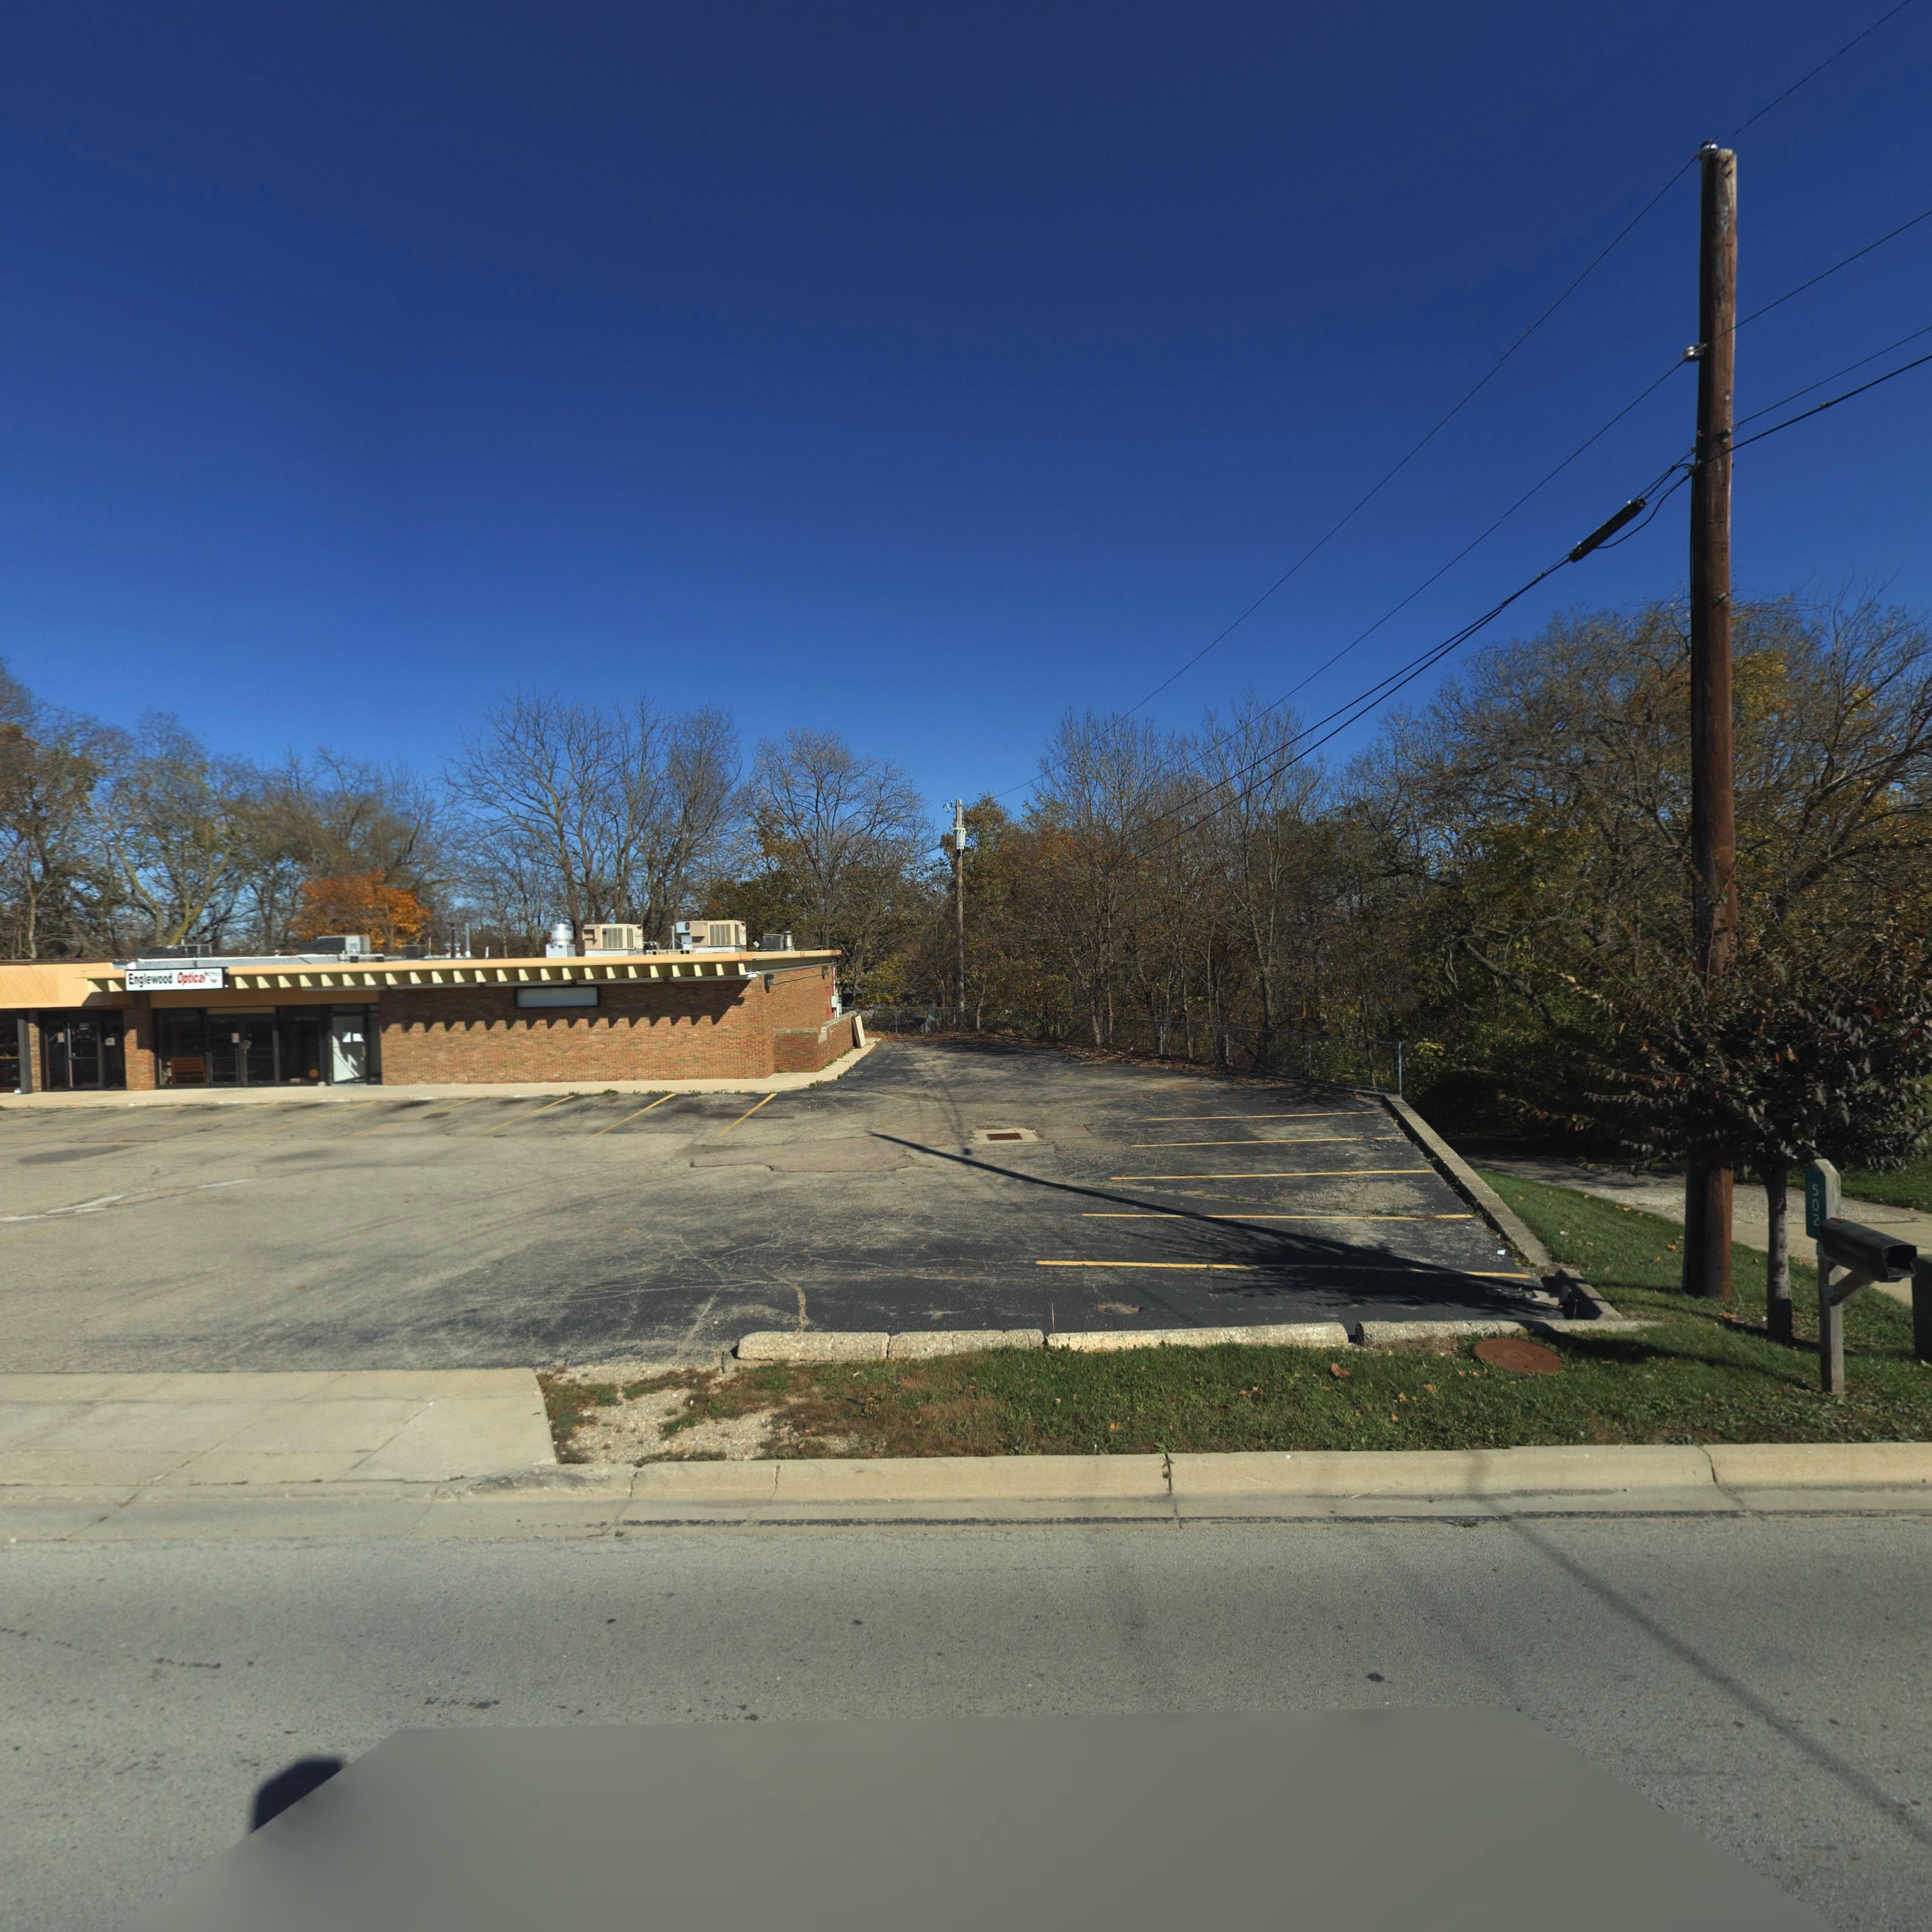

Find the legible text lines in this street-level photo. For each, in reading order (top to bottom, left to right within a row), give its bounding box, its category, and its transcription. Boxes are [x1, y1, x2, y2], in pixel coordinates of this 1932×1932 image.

[128, 971, 207, 988] BusinessName: Englewood Optical
[1810, 1181, 1822, 1230] StreetNumber: 502